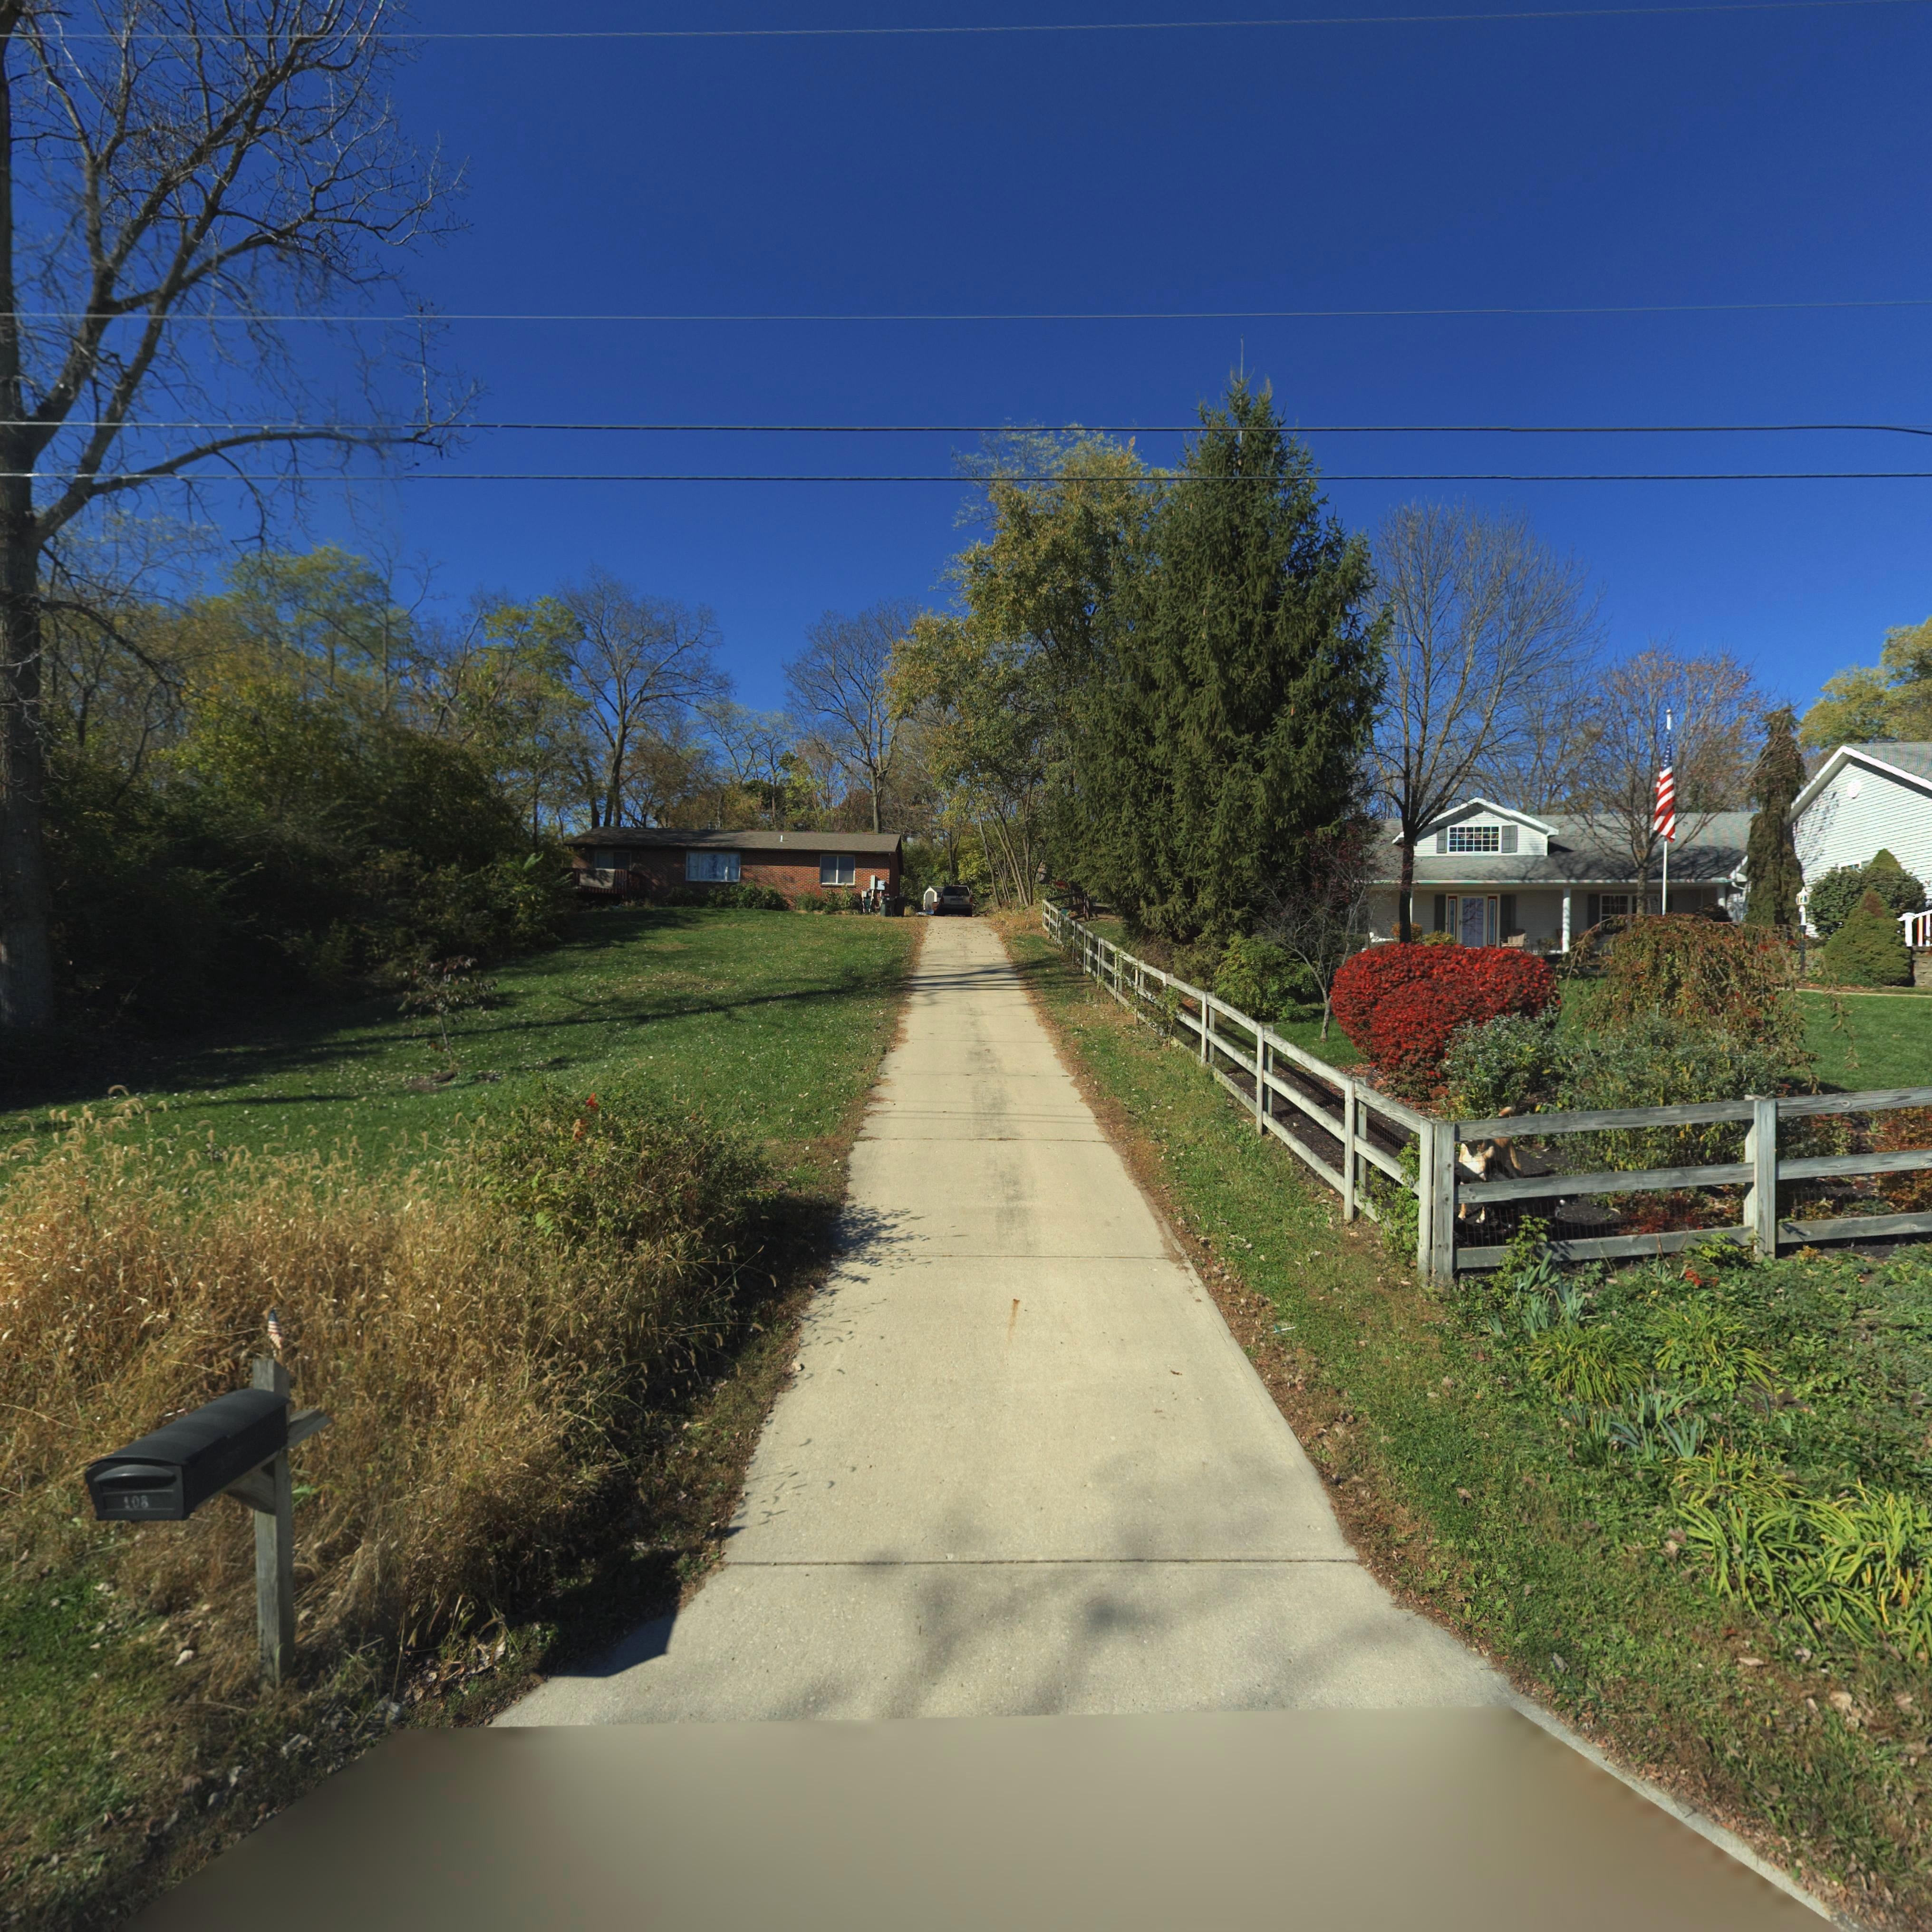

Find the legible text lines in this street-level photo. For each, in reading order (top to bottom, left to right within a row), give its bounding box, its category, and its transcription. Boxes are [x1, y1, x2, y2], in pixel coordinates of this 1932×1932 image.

[123, 1495, 150, 1509] StreetNumber: 108